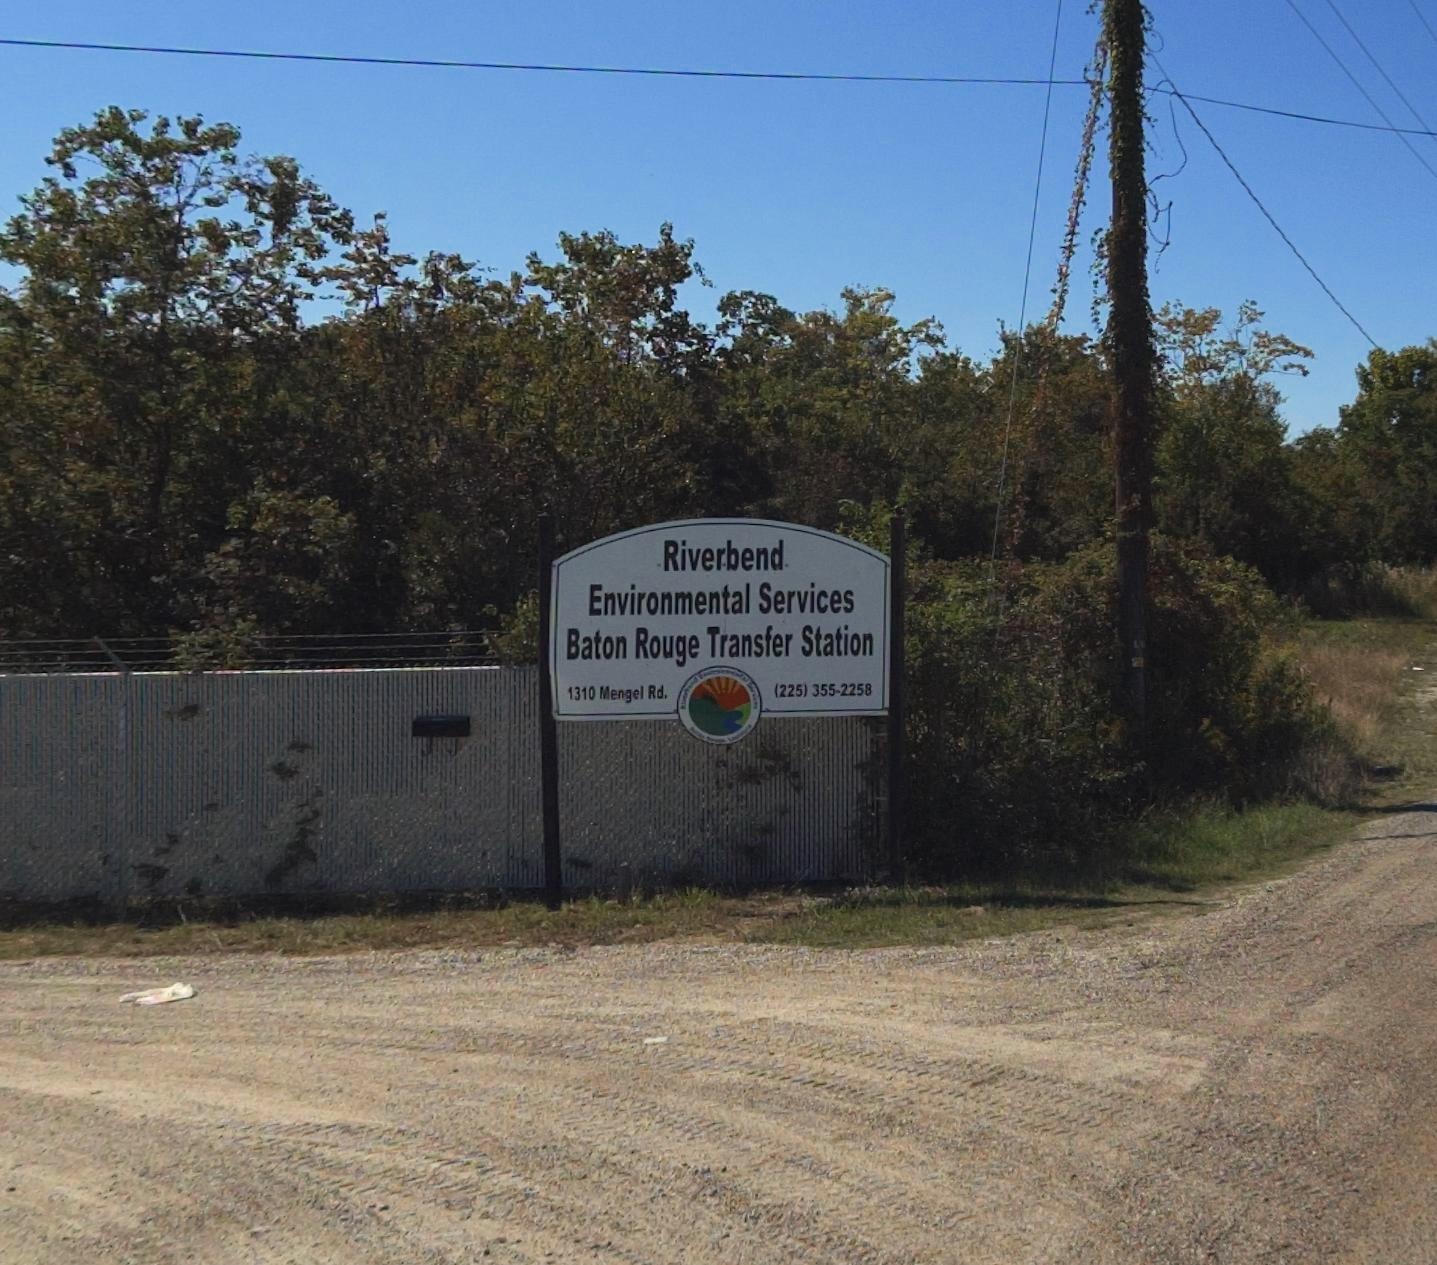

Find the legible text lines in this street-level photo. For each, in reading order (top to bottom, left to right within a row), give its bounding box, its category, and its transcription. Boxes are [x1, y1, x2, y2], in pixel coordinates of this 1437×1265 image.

[662, 538, 786, 572] BusinessName: Riverbend
[588, 581, 855, 617] BusinessName: Environmental Services
[565, 623, 875, 661] BusinessName: Baton Rouge Transfer Station
[566, 685, 596, 702] StreetNumber: 1310
[599, 684, 669, 704] StreetName: Mengel Rd.
[773, 681, 873, 699] None: (225)355-2258